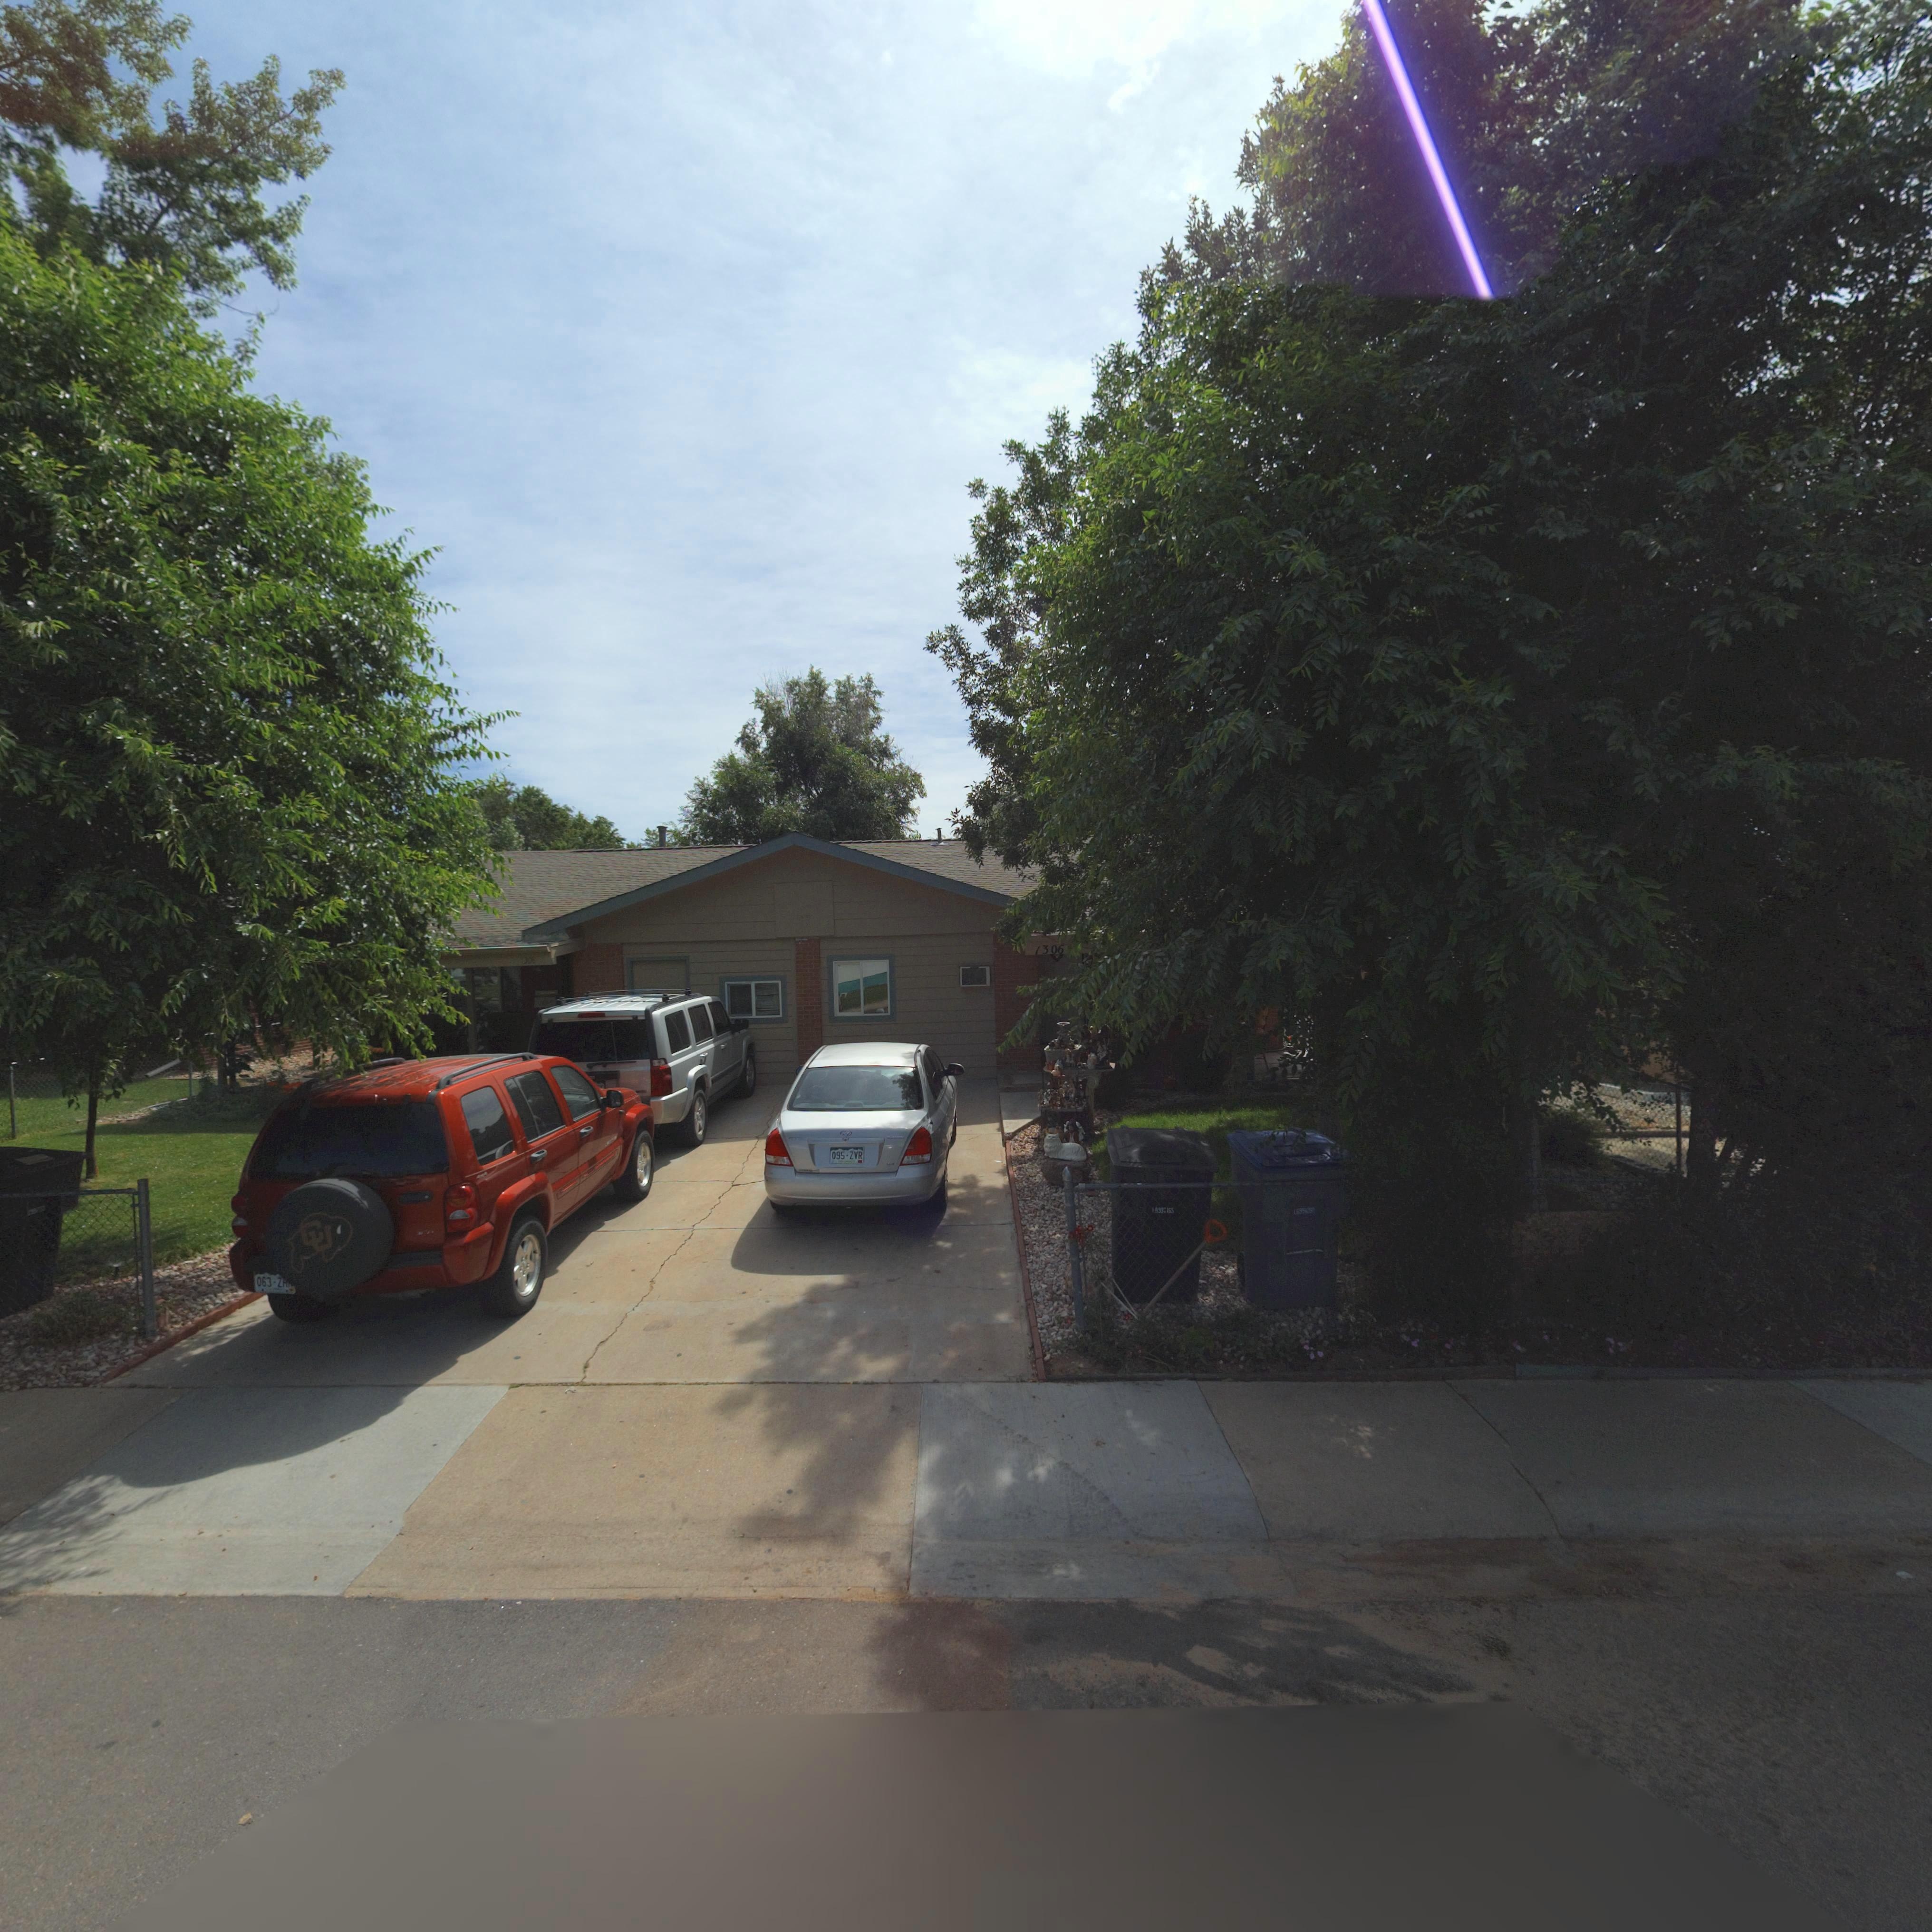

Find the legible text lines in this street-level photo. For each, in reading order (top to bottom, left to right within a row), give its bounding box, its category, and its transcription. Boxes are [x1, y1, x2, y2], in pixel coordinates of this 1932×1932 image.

[1034, 944, 1064, 955] StreetNumber: 1306
[520, 956, 536, 965] StreetNumber: 1308